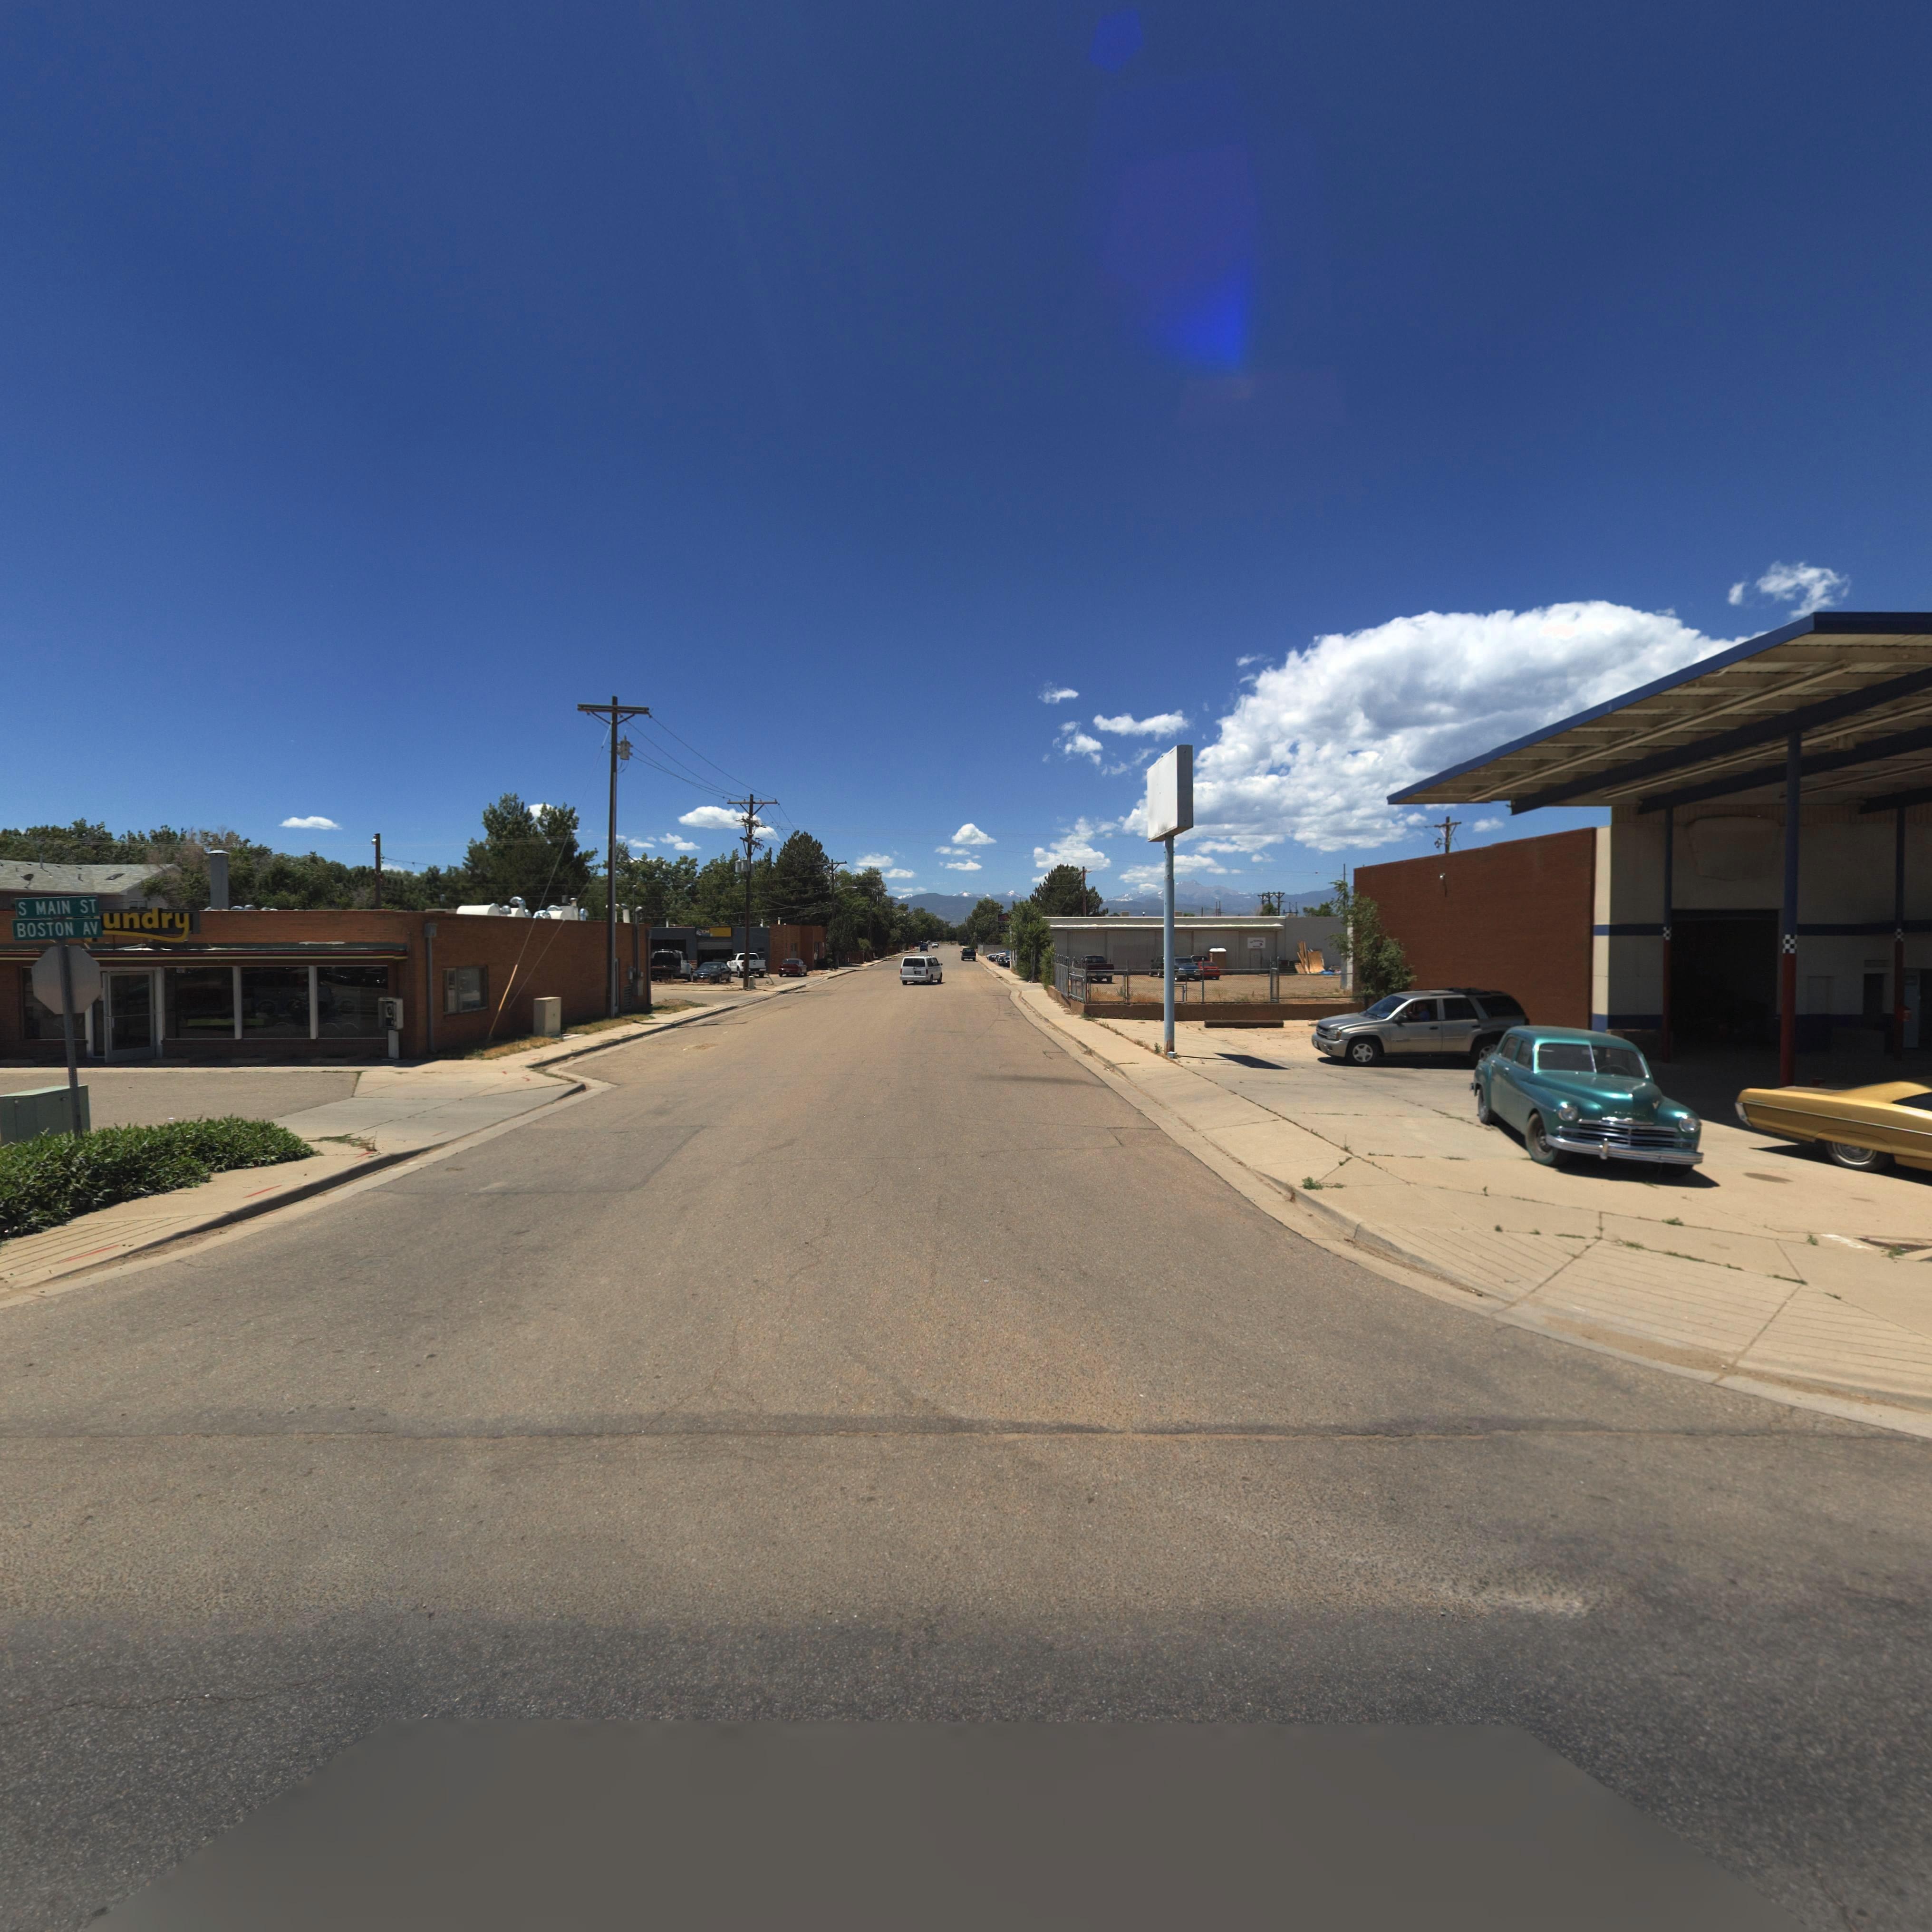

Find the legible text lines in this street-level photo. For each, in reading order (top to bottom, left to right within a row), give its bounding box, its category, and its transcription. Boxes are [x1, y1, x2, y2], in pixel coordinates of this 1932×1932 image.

[18, 899, 97, 916] StreetName: S MAIN ST
[15, 920, 100, 938] StreetName: BOSTON AV
[102, 905, 190, 935] BusinessName: undry